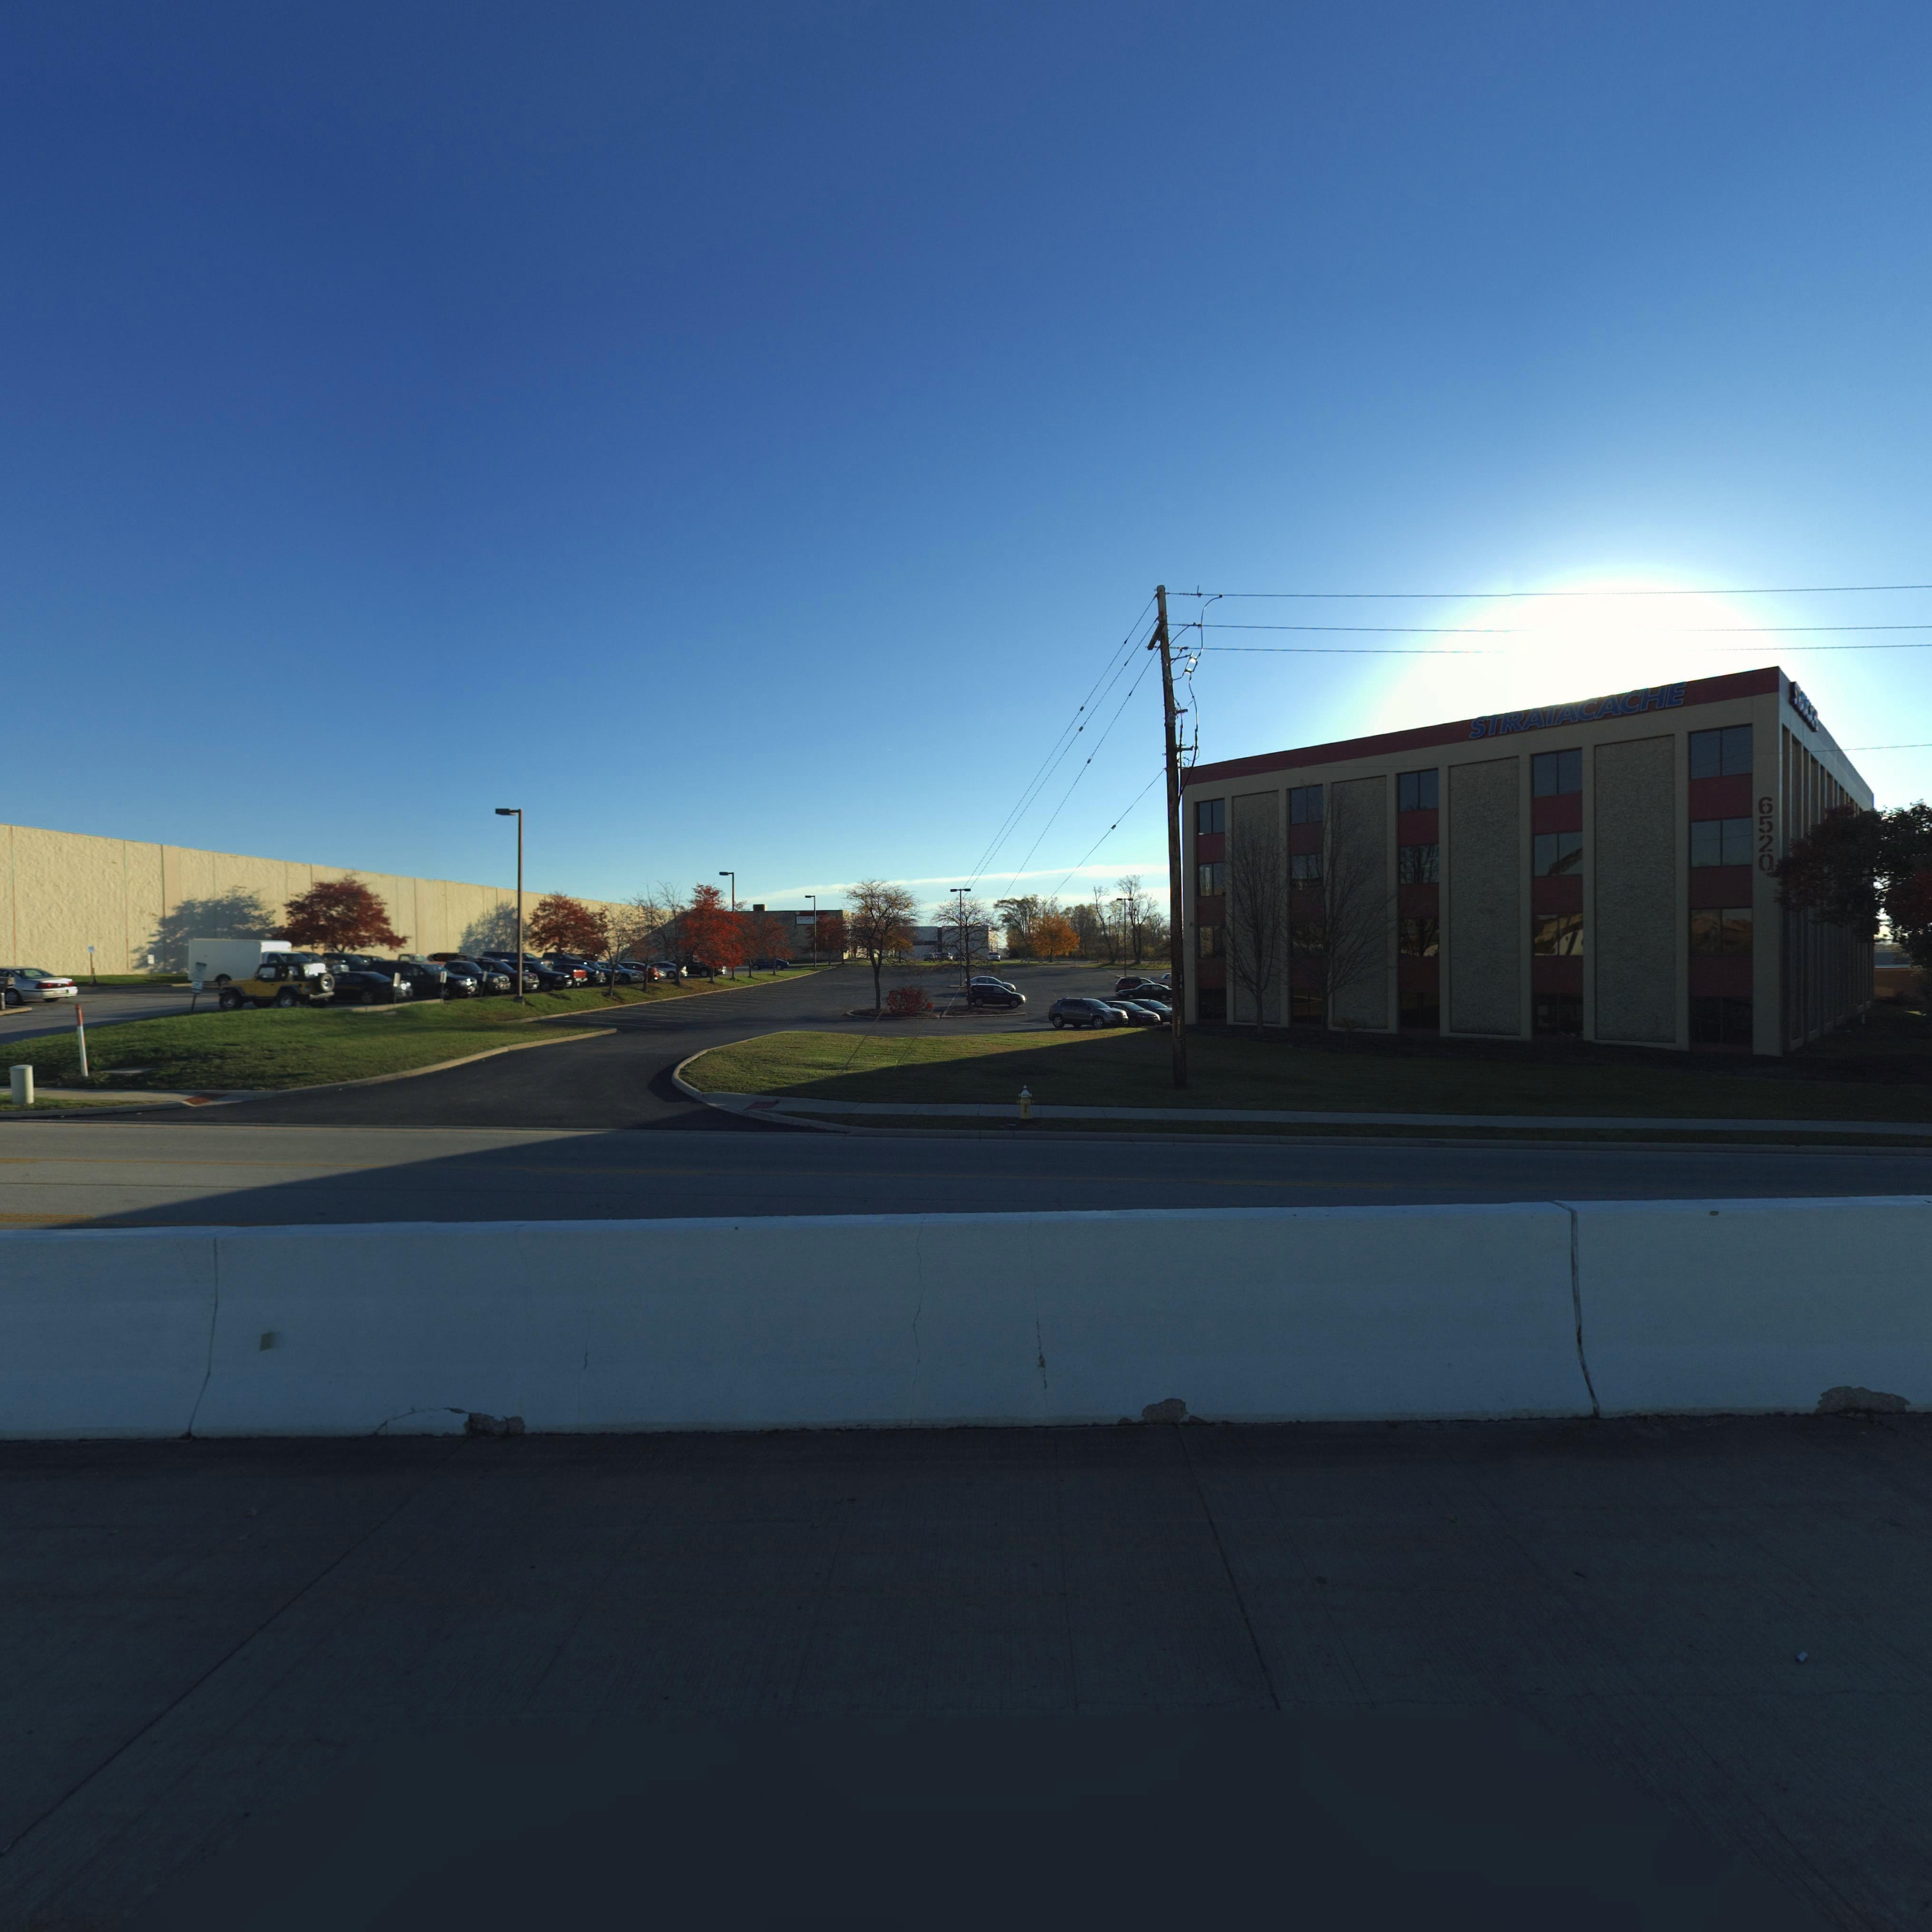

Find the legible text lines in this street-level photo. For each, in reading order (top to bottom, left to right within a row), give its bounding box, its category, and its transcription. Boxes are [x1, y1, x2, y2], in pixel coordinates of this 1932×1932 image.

[1467, 680, 1689, 741] None: STRATACACHE
[1757, 794, 1777, 874] StreetNumber: 6520